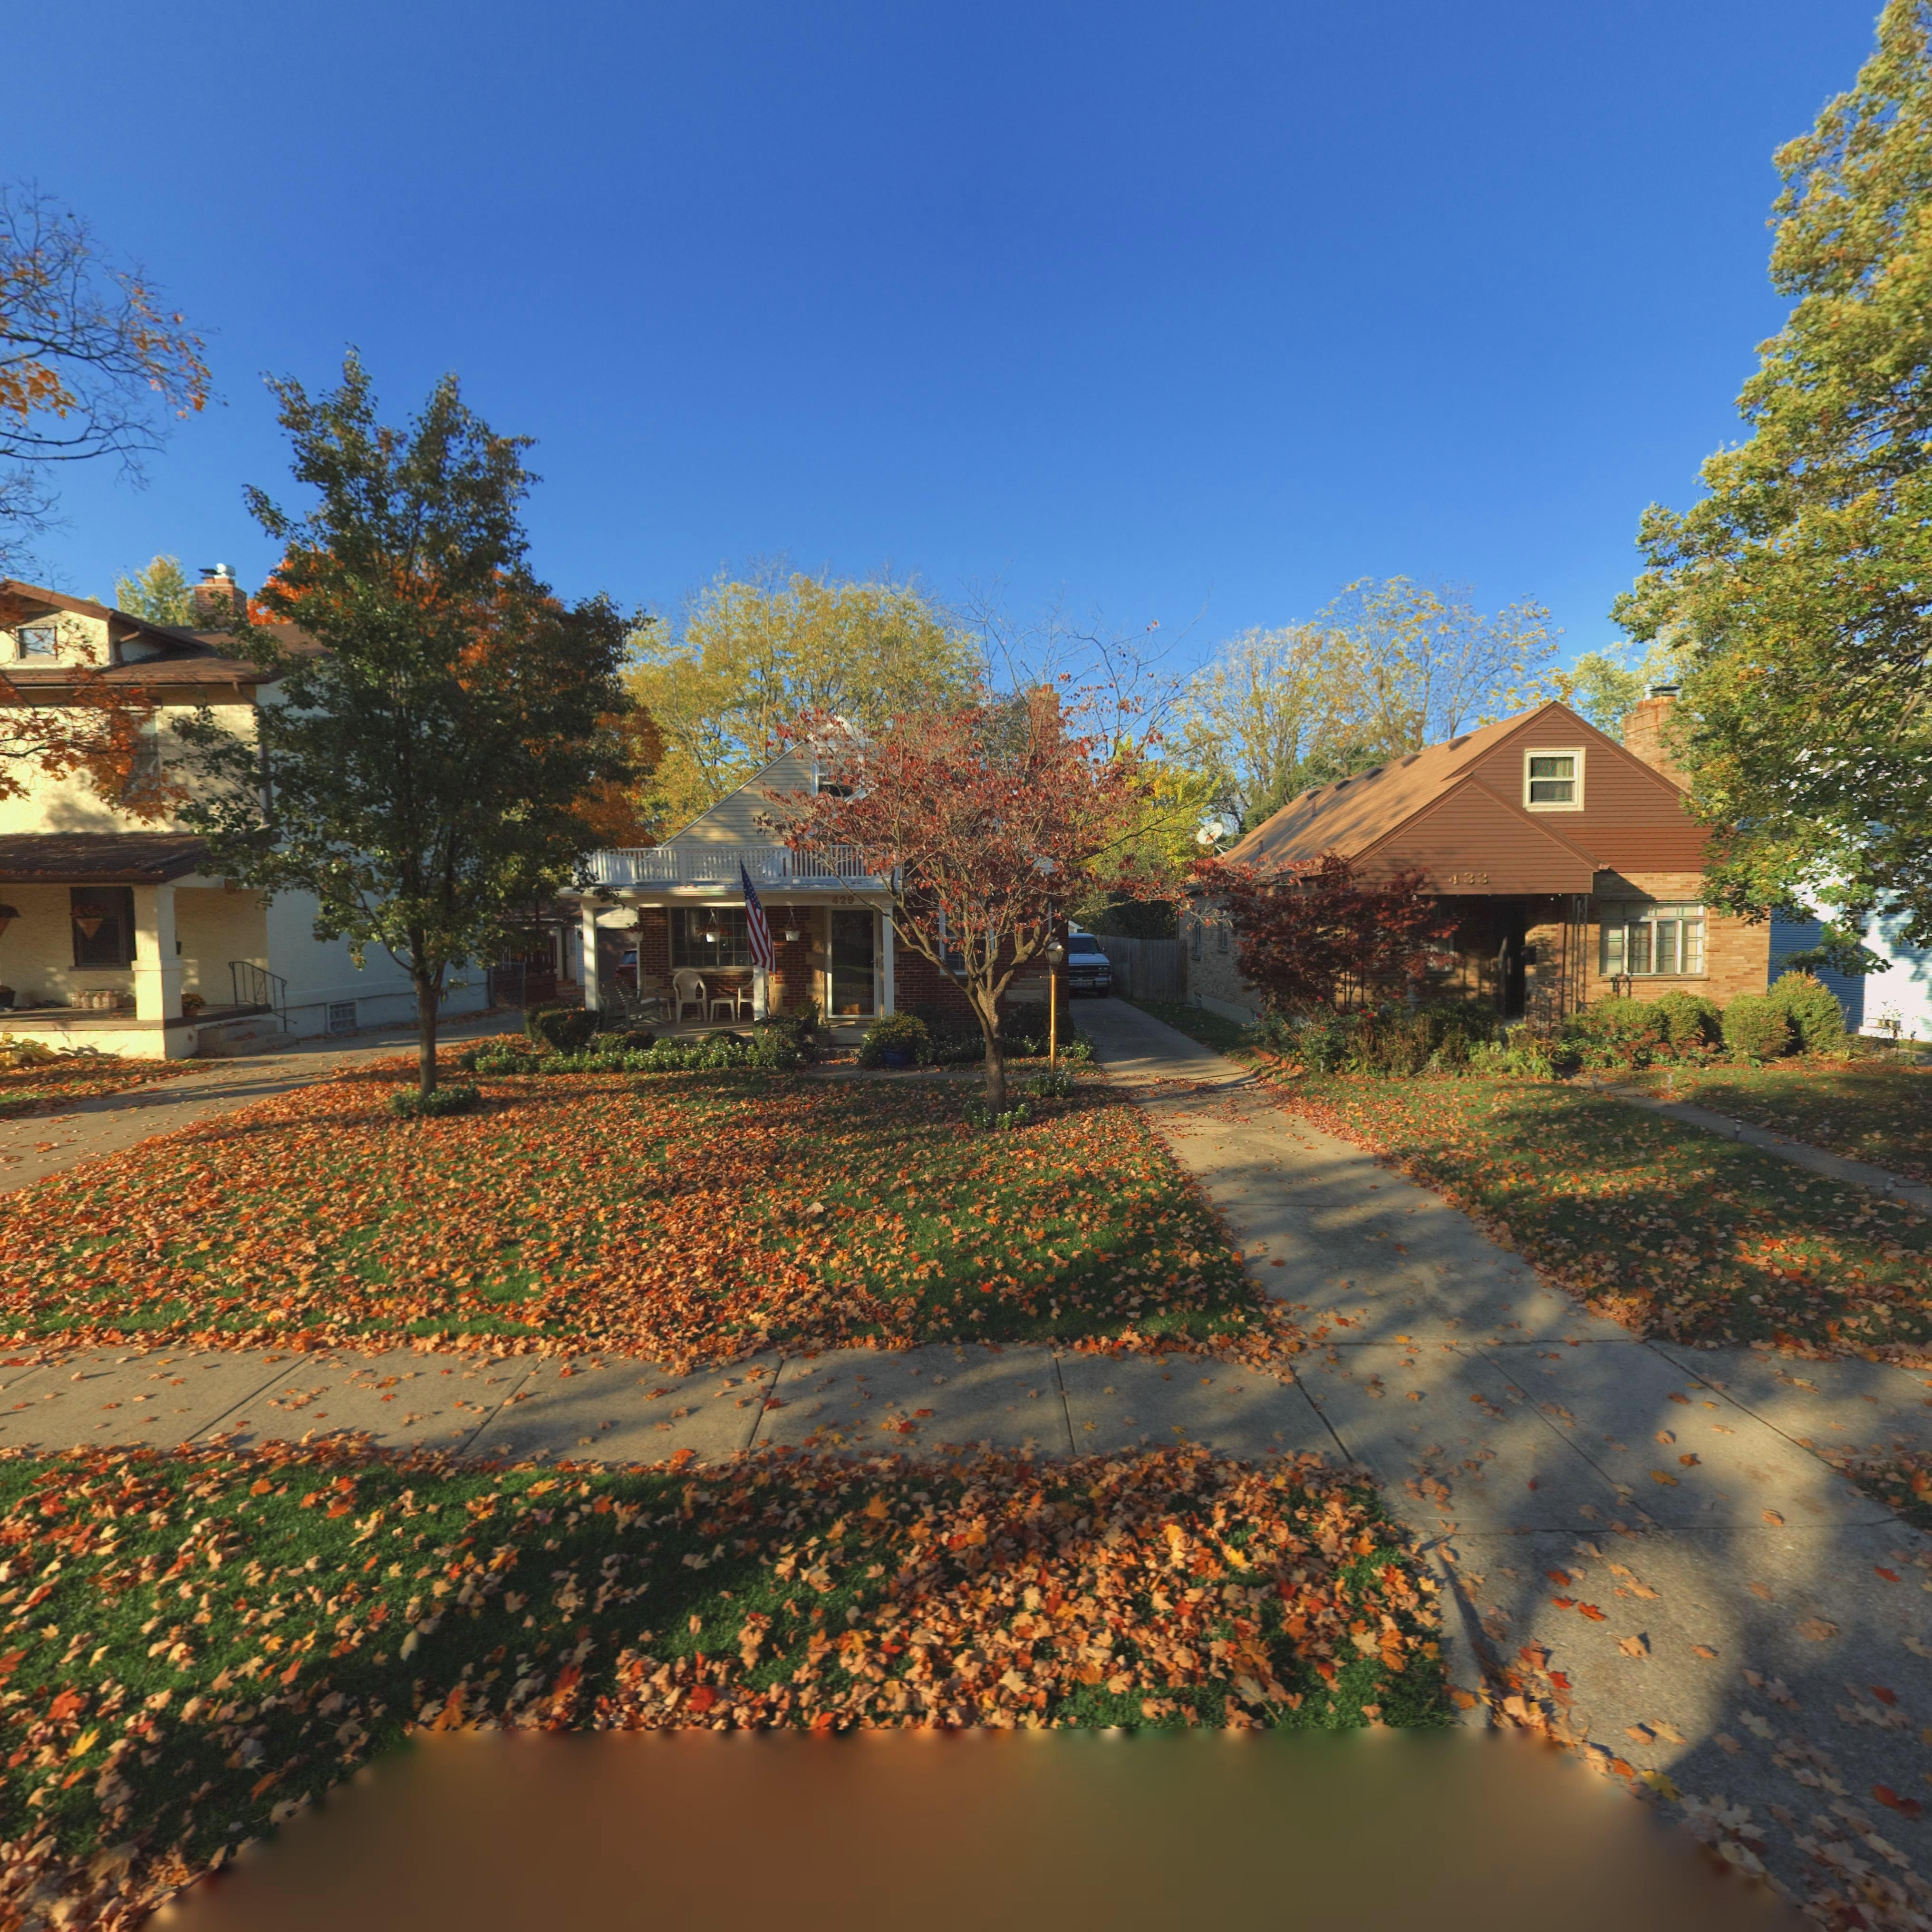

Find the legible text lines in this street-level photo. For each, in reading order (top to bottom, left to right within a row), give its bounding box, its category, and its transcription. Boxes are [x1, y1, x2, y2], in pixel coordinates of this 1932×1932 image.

[1448, 871, 1488, 885] StreetNumber: 433
[831, 895, 854, 905] StreetNumber: 429